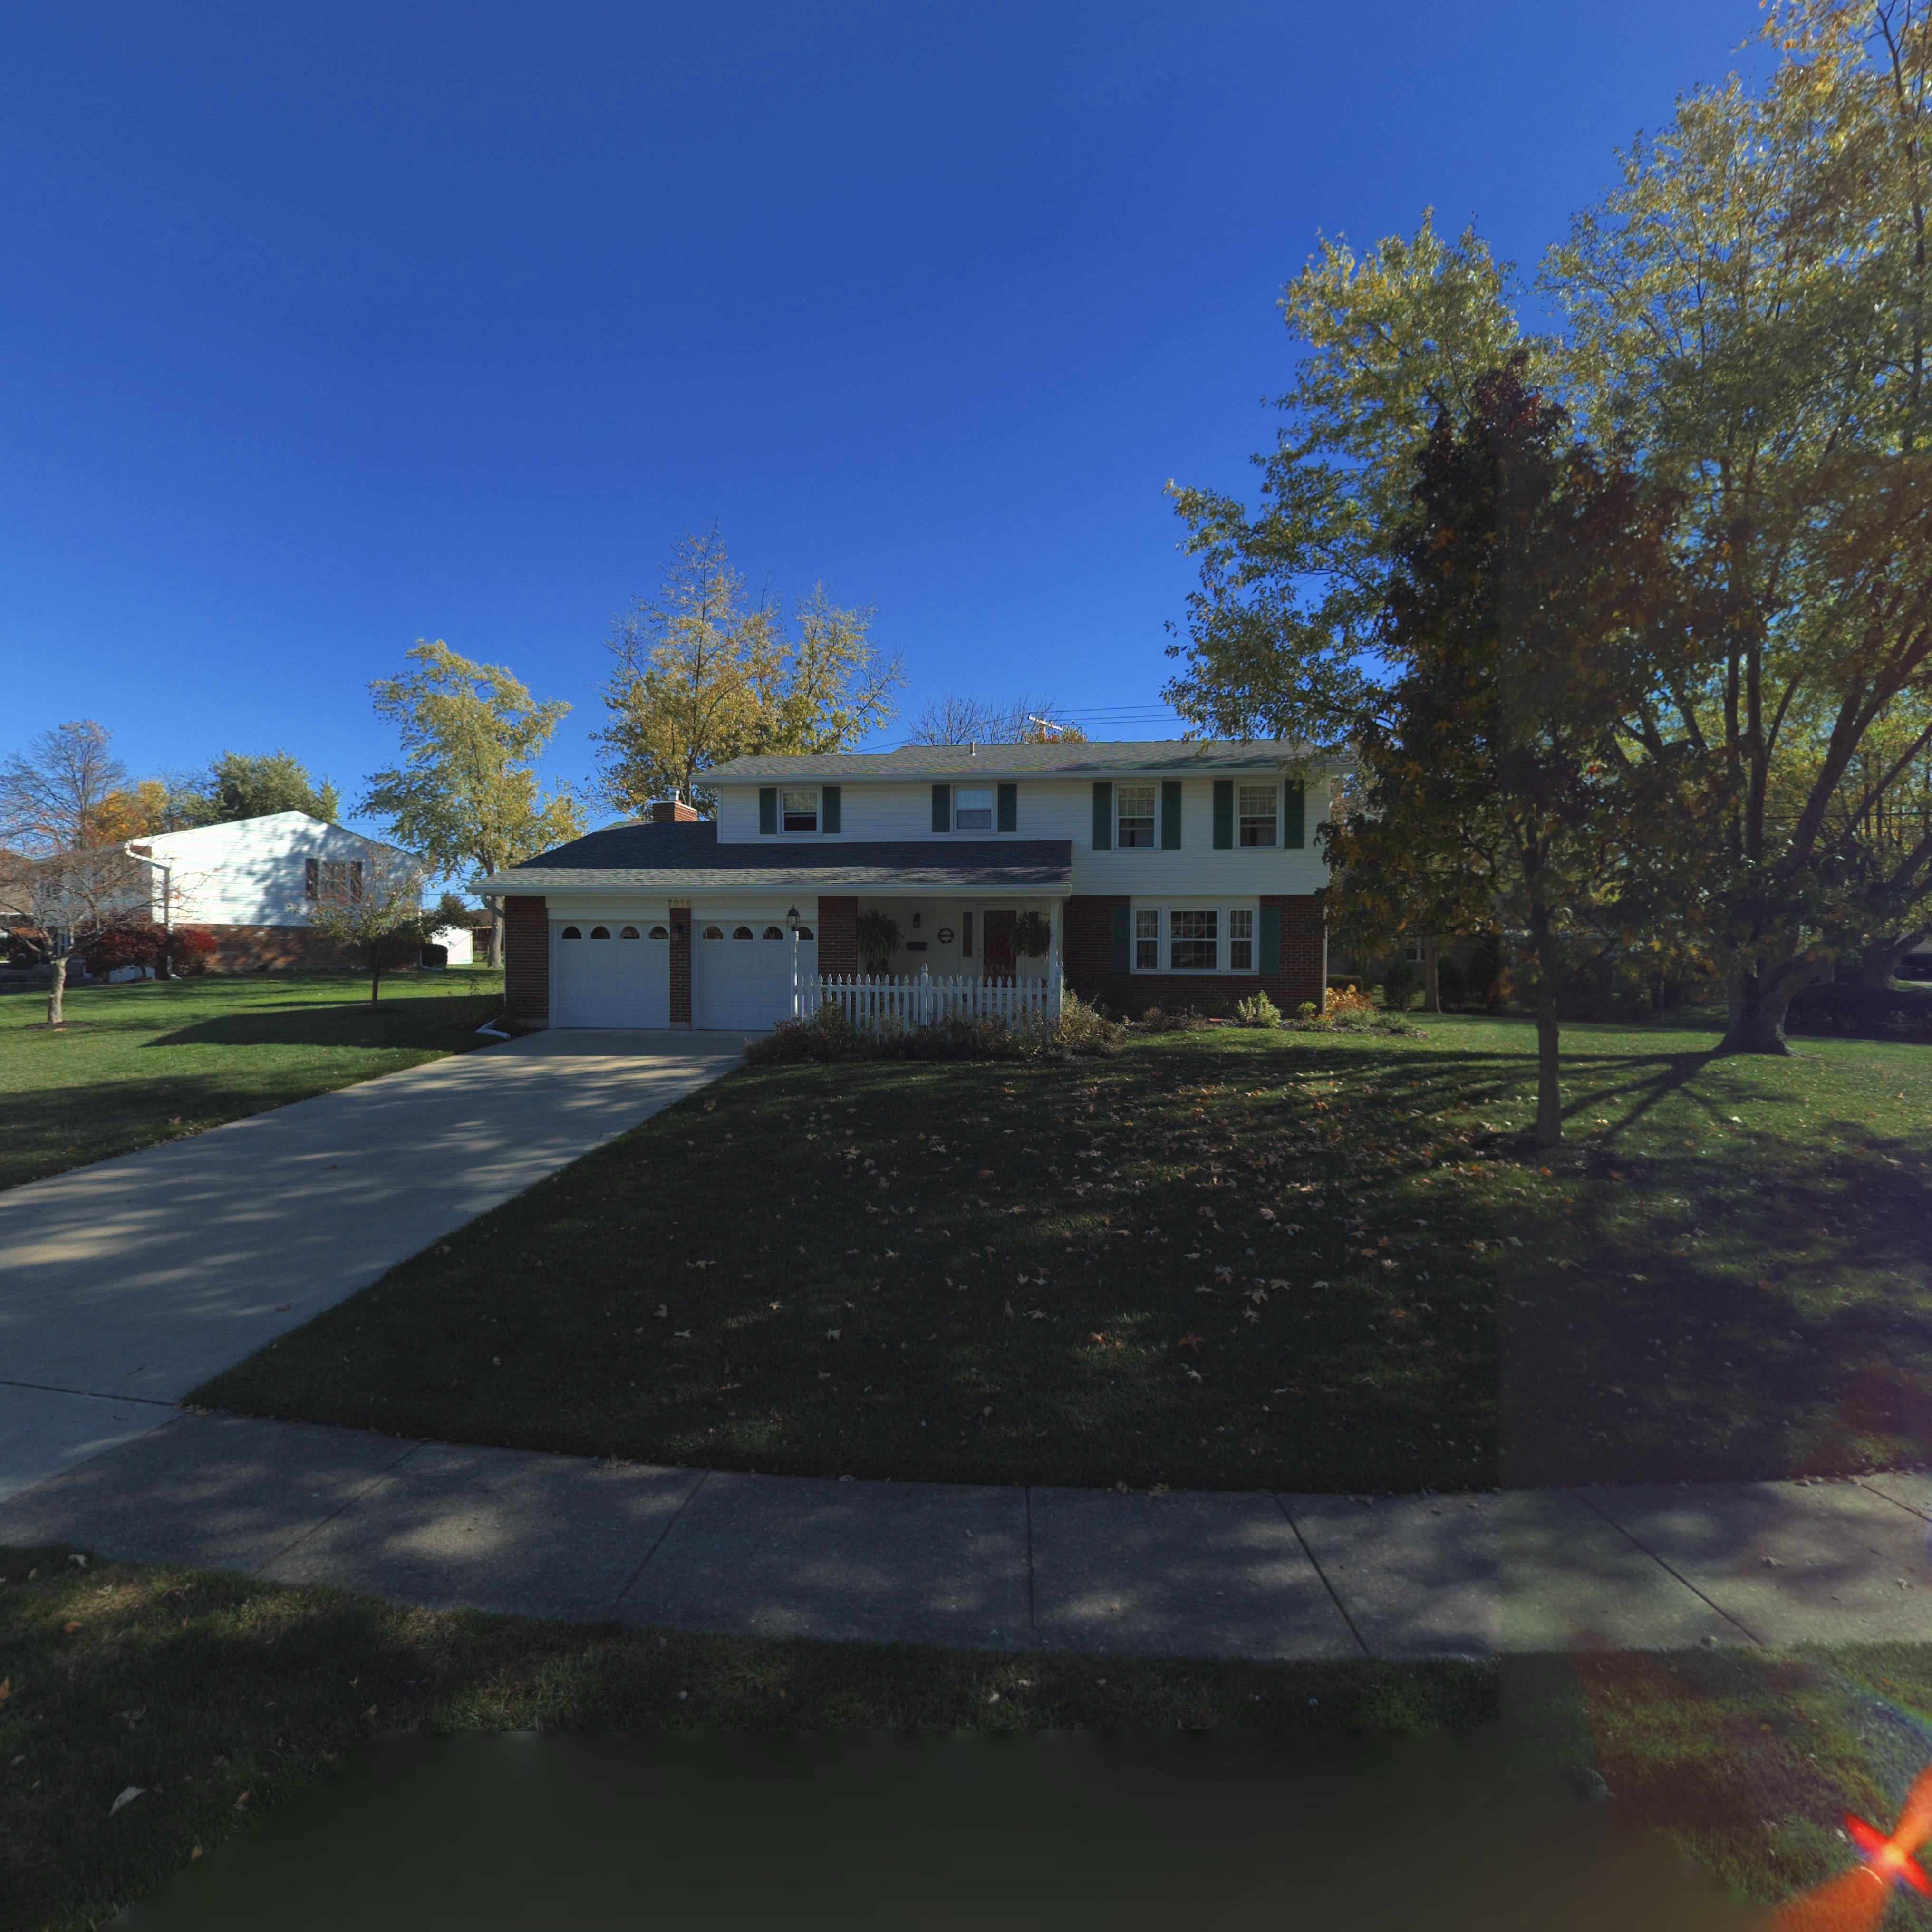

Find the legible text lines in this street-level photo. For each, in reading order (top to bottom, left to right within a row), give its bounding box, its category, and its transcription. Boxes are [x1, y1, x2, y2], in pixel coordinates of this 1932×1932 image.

[666, 898, 693, 908] StreetNumber: 7018